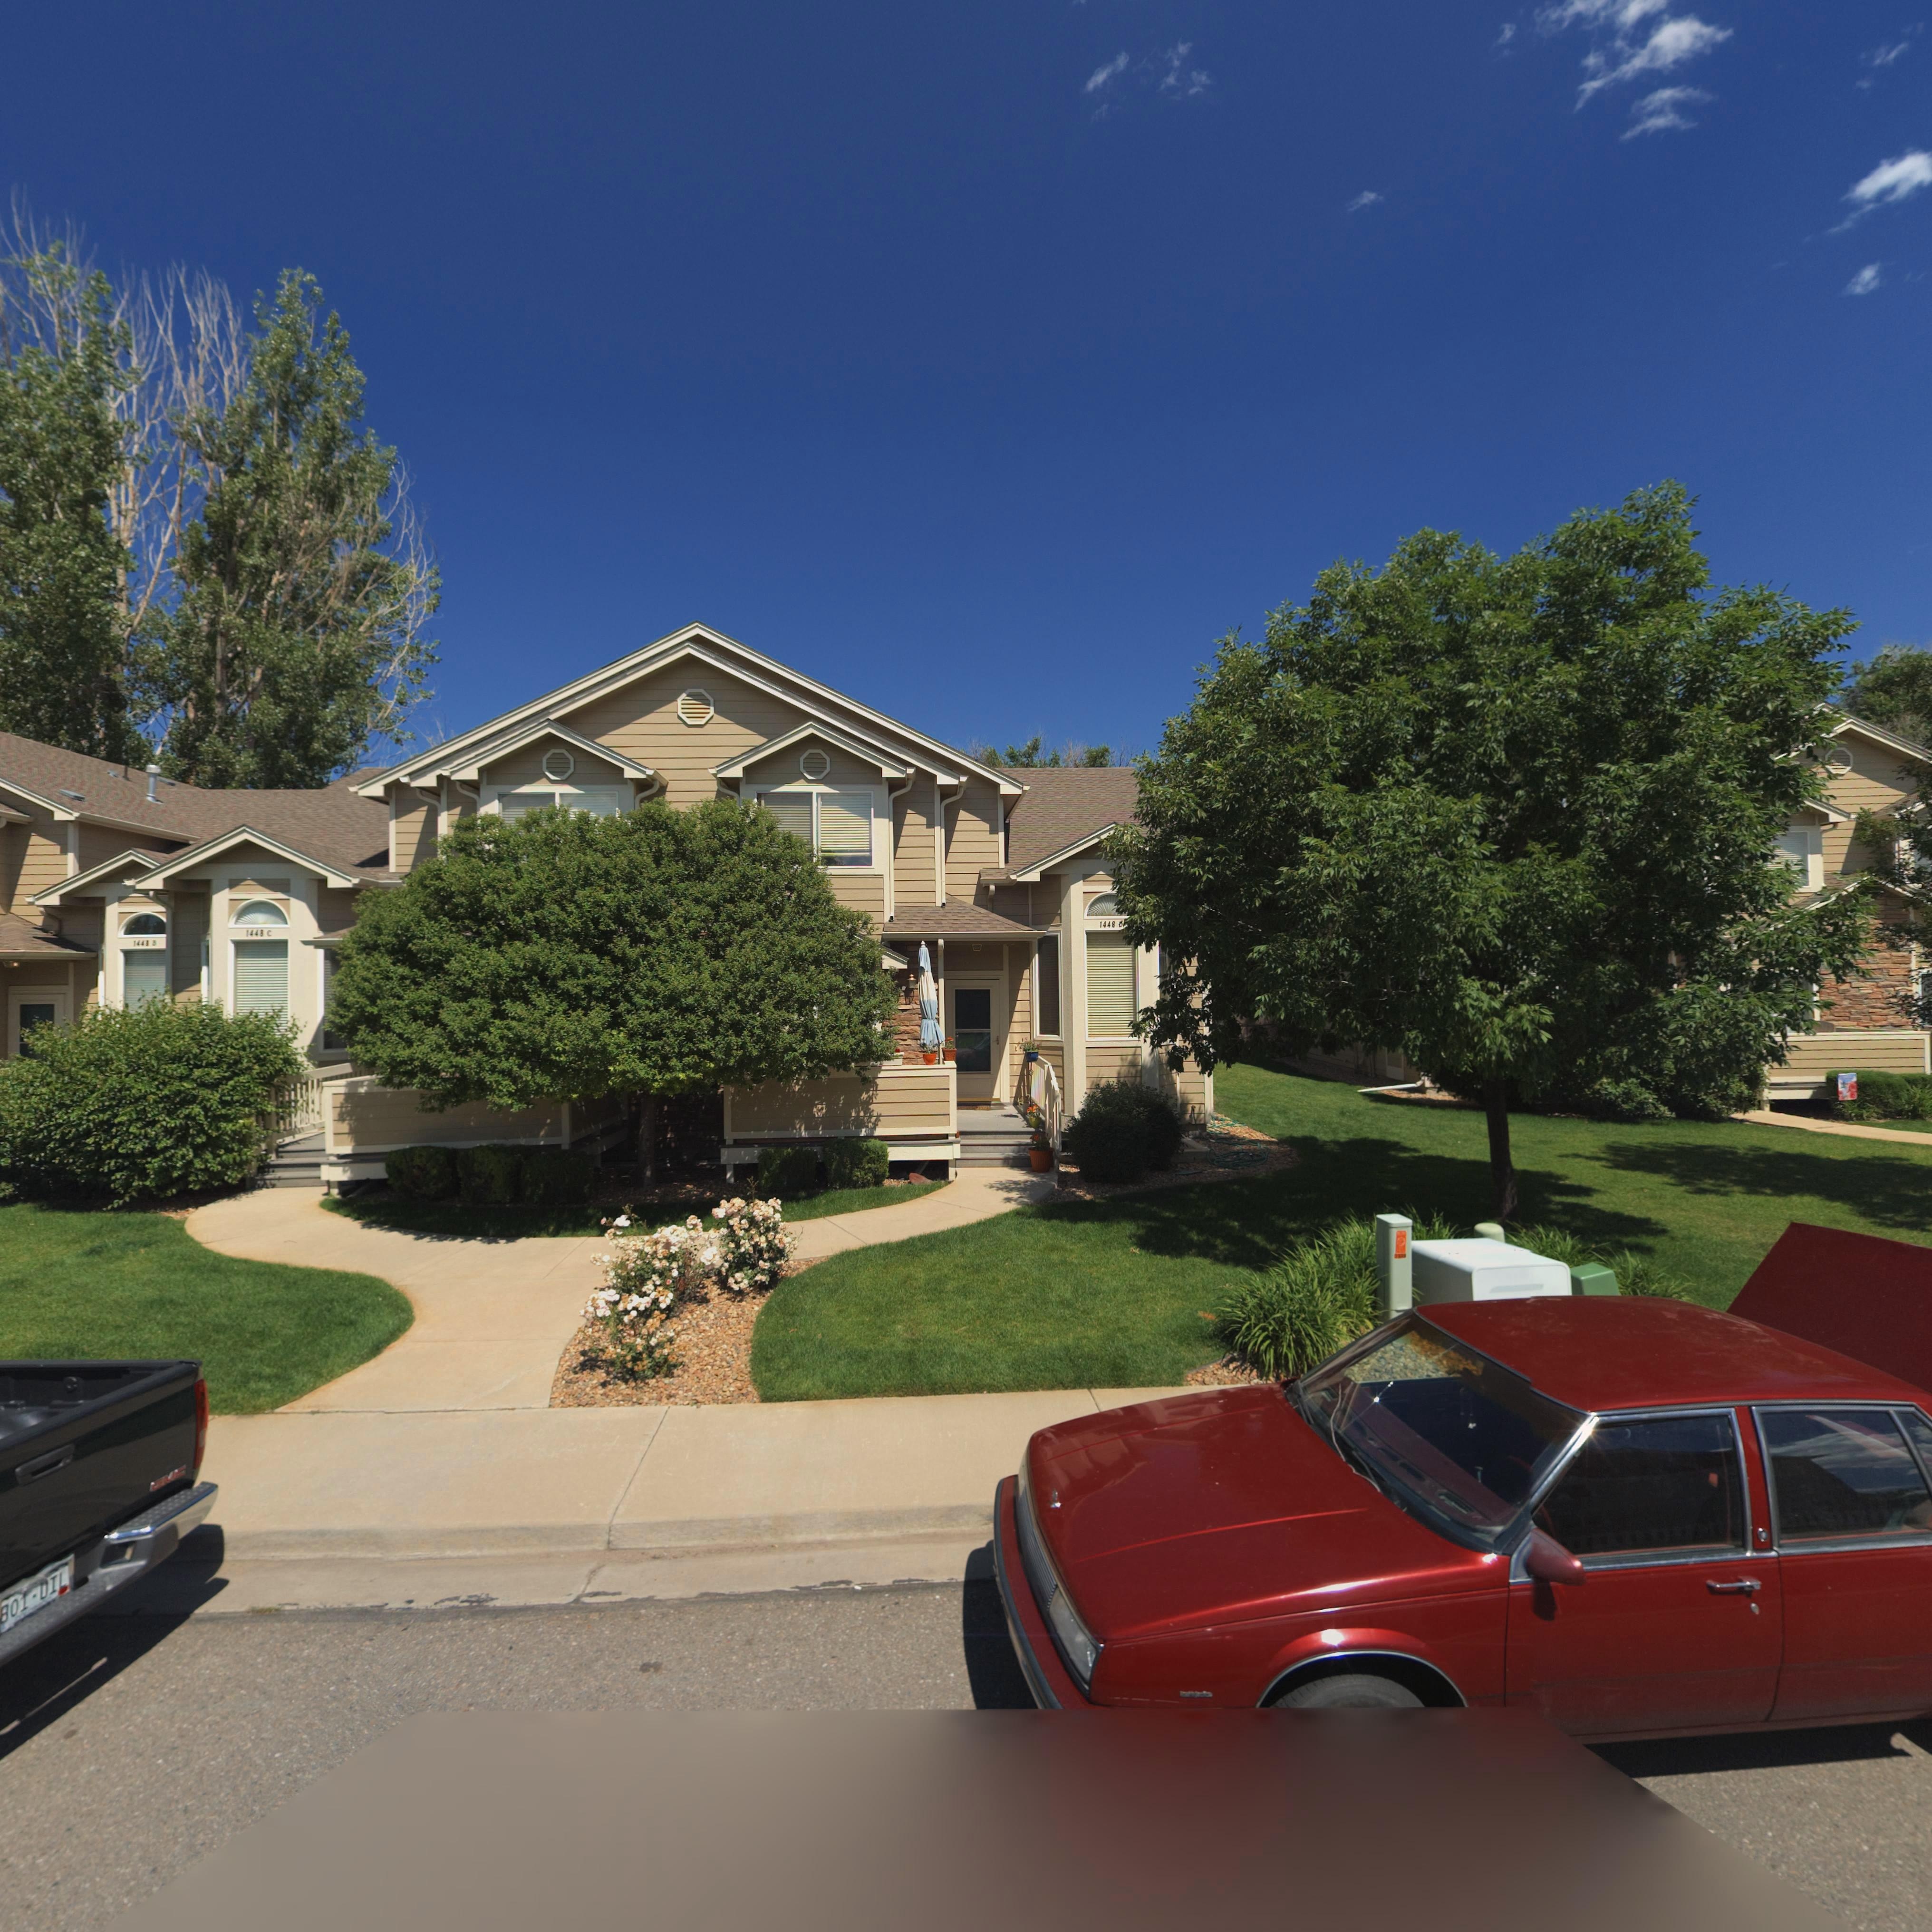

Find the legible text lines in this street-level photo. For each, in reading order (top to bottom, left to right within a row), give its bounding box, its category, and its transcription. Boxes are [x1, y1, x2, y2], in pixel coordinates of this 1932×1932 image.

[1099, 920, 1115, 928] StreetNumber: 1448
[245, 929, 272, 937] StreetNumber: 144* C
[132, 939, 157, 947] StreetNumber: 1441 B